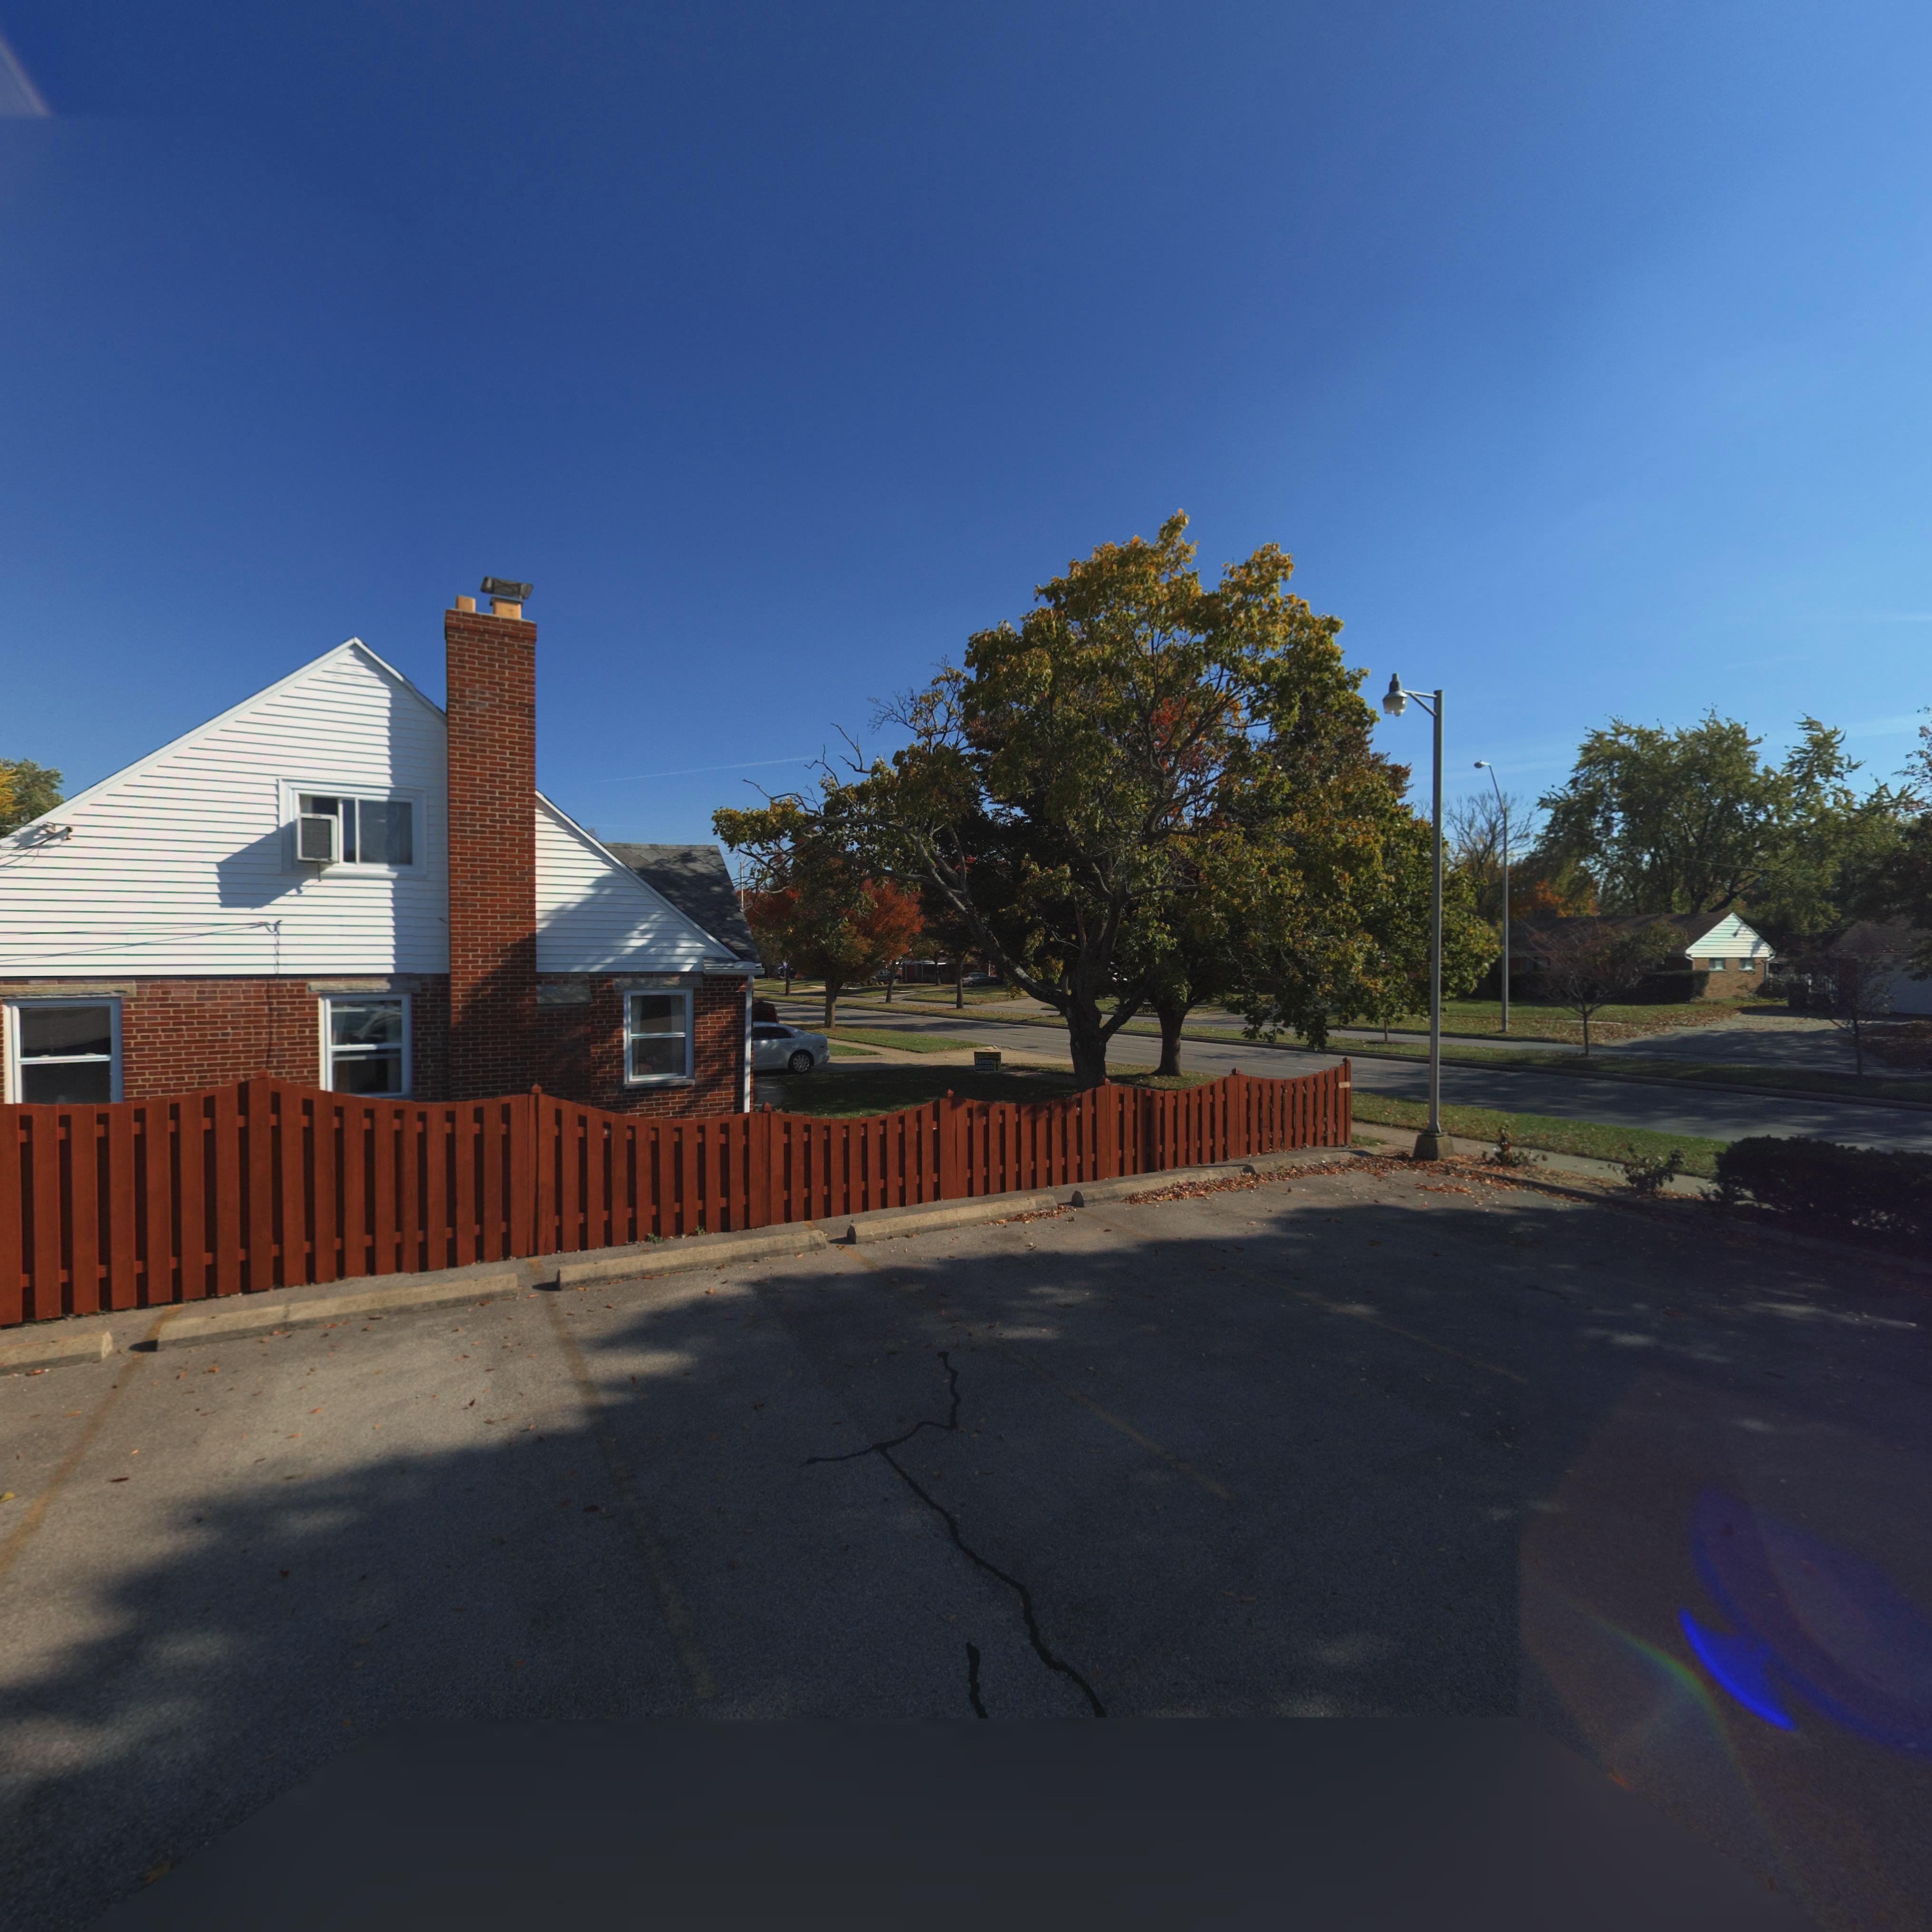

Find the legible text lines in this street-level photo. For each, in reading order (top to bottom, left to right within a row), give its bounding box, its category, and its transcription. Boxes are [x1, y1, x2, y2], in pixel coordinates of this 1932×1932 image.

[975, 1058, 993, 1064] None: Human
[975, 1064, 993, 1070] None: SERVICES
[993, 1060, 1001, 1071] None: 11